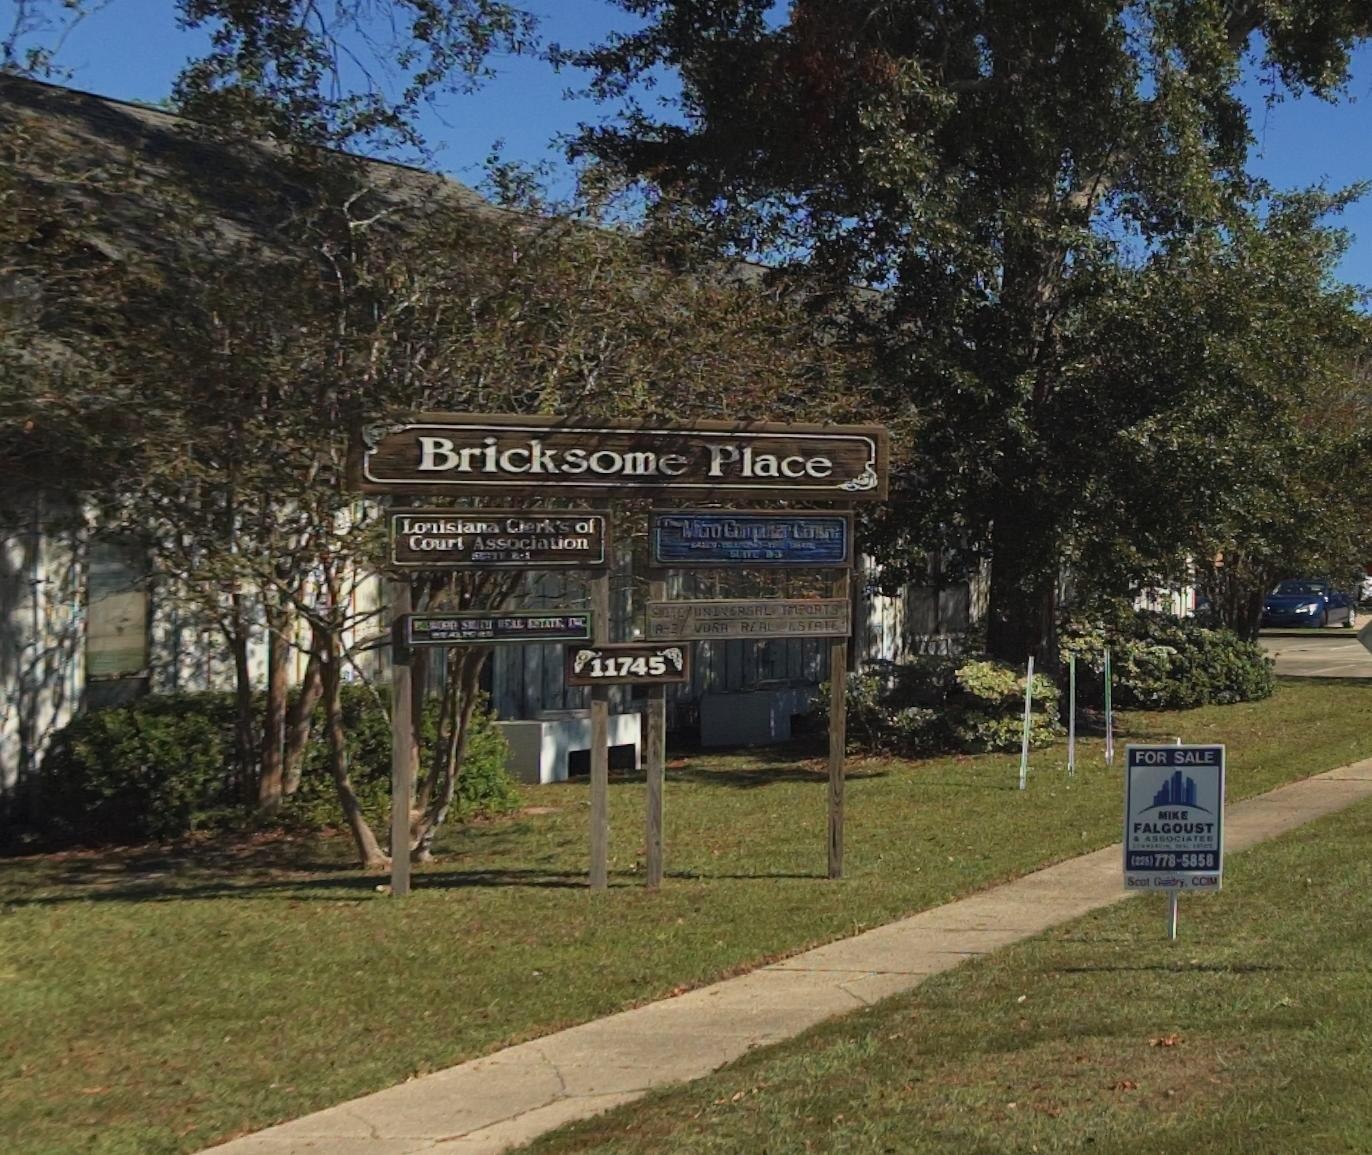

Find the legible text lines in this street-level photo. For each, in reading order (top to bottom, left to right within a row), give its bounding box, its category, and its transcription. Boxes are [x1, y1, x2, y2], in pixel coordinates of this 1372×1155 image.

[412, 432, 838, 482] BusinessName: Bricksome Place
[399, 515, 598, 537] BusinessName: Louisiana Clerk's of
[679, 515, 843, 542] BusinessName: M*cro C**p***r C****e 
[406, 533, 591, 553] BusinessName: Court Association
[727, 546, 785, 562] SecondaryUnitDesignator: SUITE B3
[691, 602, 841, 620] BusinessName: UNIVERSAL IMPORTS
[652, 621, 682, 638] SecondaryUnitDesignator: A-2
[690, 617, 841, 636] BusinessName: V*RA REAL *STAT*
[587, 652, 669, 680] StreetNumber: 11745
[1133, 748, 1217, 766] None: FOR SALE
[1156, 807, 1191, 823] None: MIKE
[1131, 819, 1216, 836] None: FALGOUST
[1141, 833, 1216, 845] None: ASSOCIATE*
[1151, 850, 1217, 870] None: 778-5858
[1189, 874, 1219, 889] None: C**